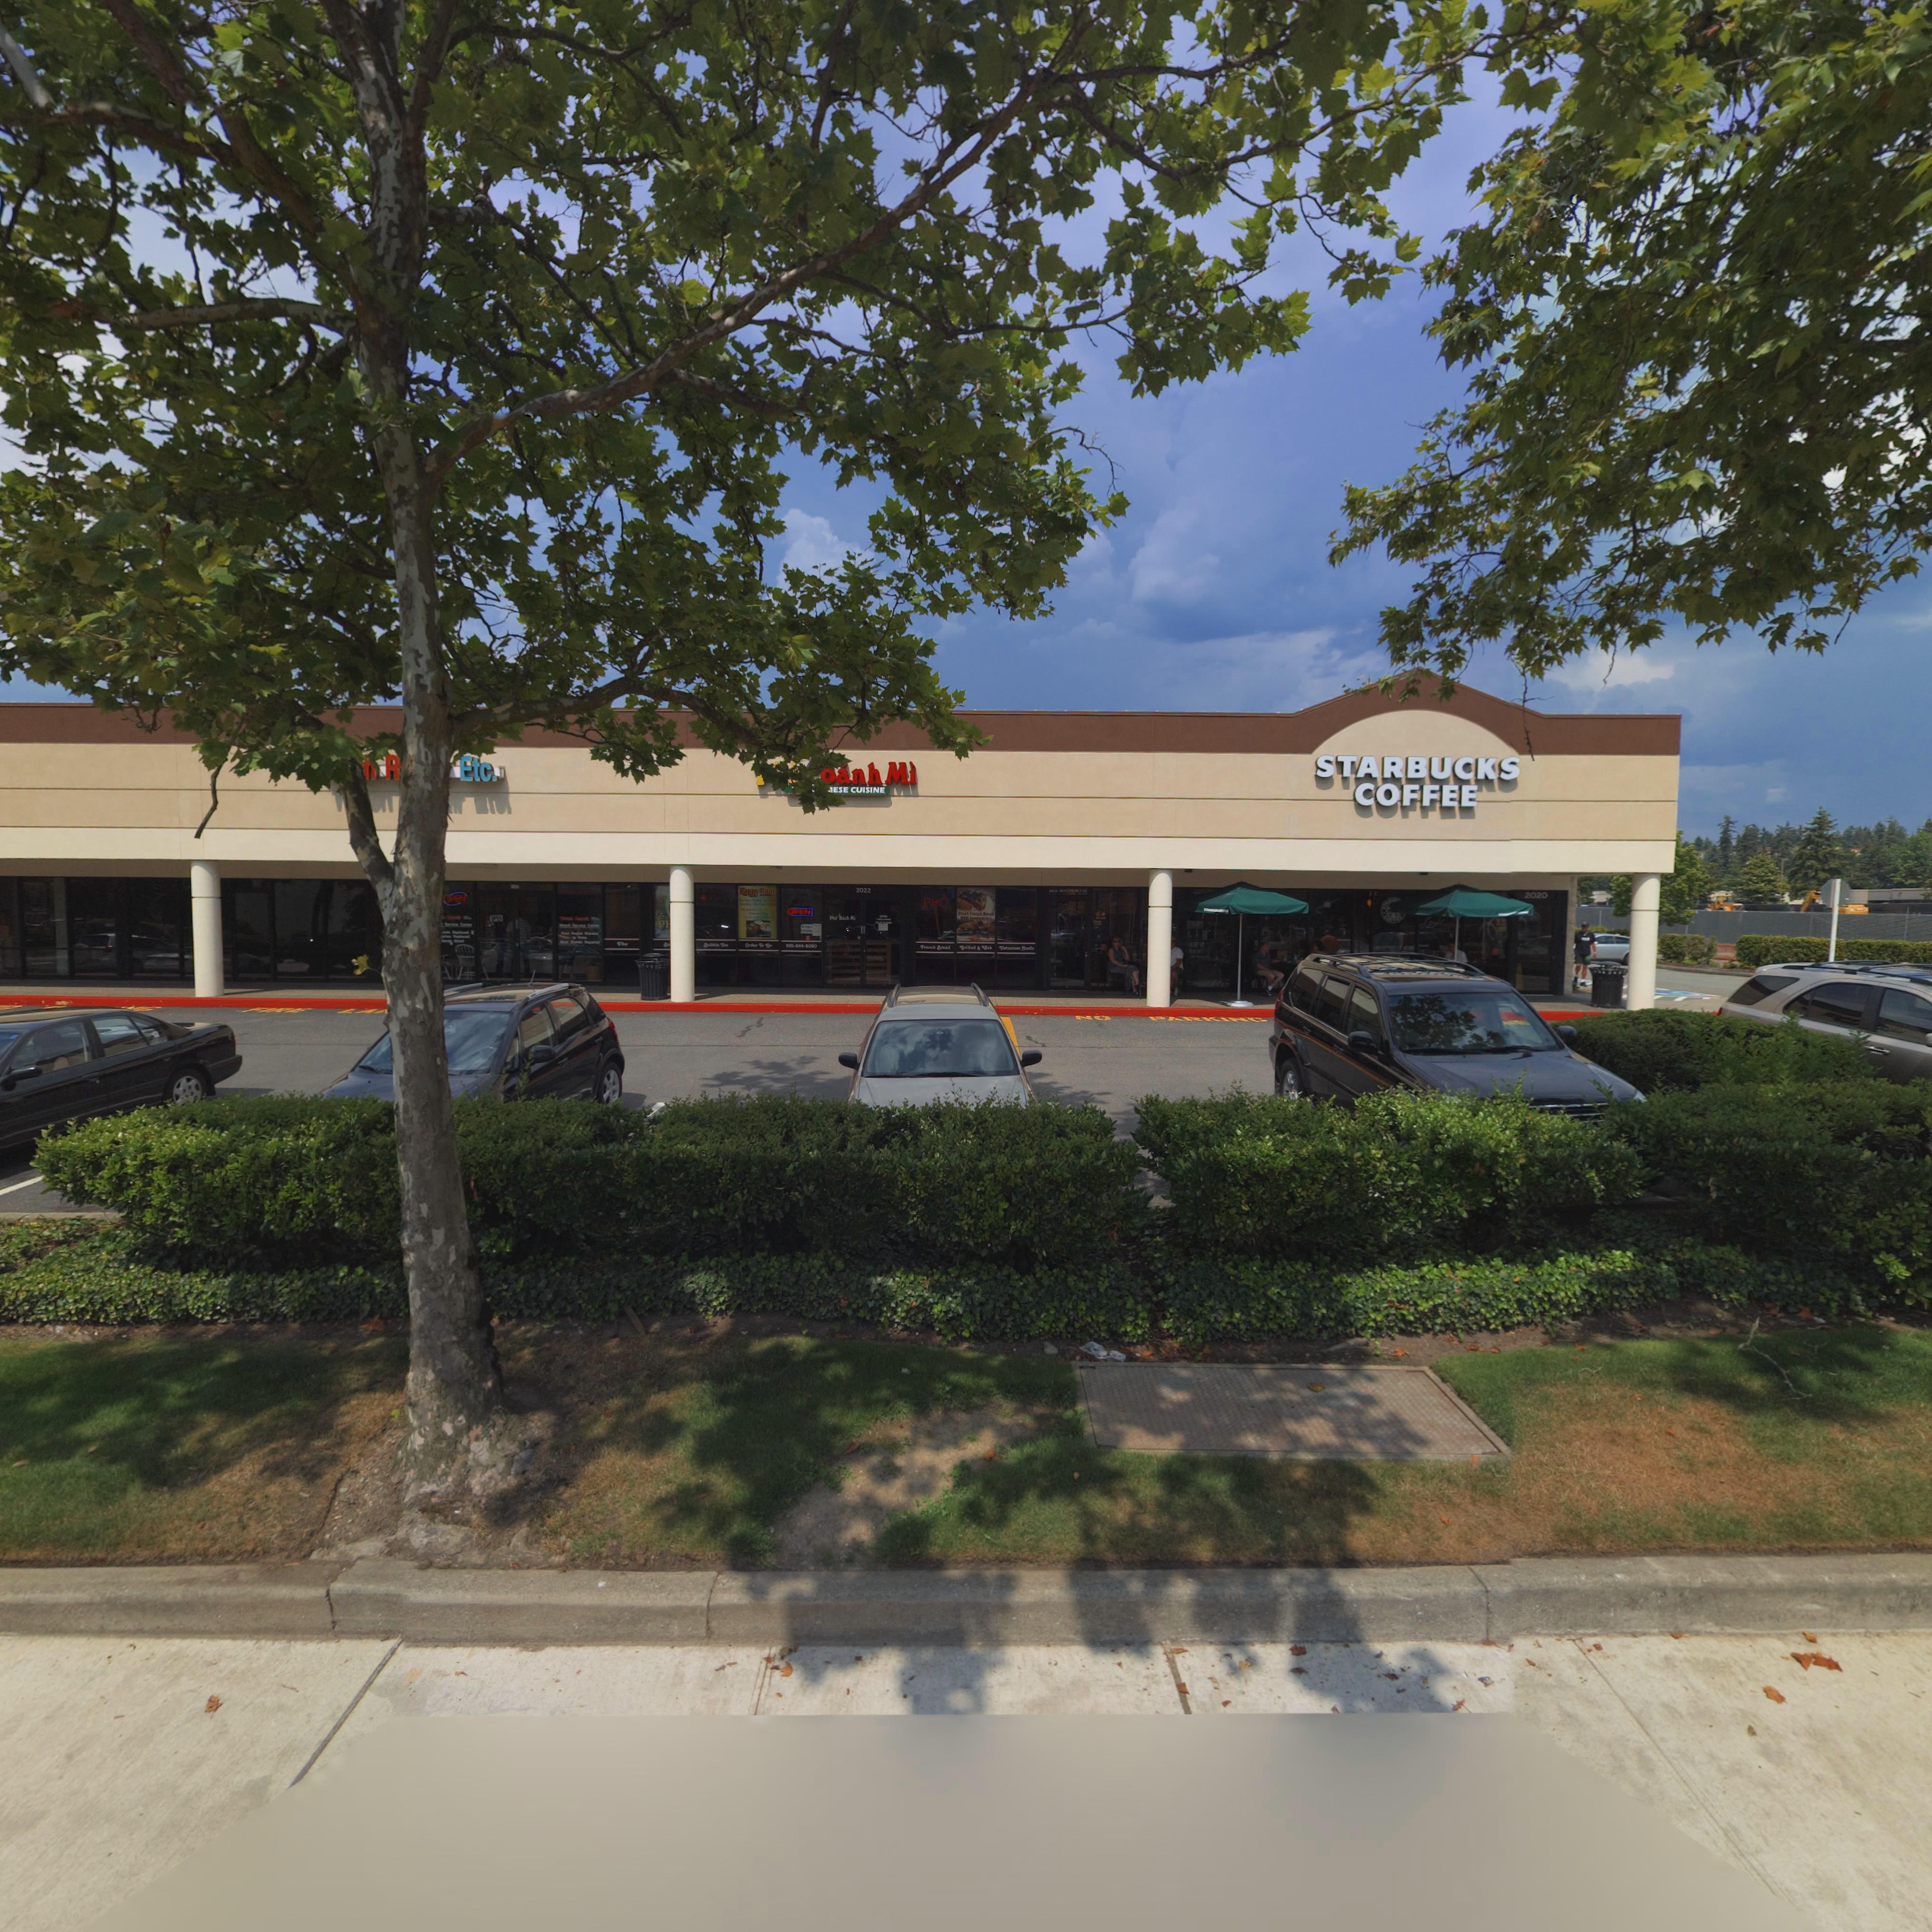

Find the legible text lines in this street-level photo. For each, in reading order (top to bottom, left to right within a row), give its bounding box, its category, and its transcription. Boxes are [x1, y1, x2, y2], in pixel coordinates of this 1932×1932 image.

[459, 755, 498, 782] BusinessName: Etc.
[820, 762, 938, 785] BusinessName: **nhMi
[1315, 755, 1523, 782] BusinessName: STARBUCKS
[1353, 781, 1479, 808] BusinessName: COFFEE
[1524, 891, 1548, 898] StreetNumber: 2020
[829, 914, 857, 921] BusinessName: Pho B**hMi